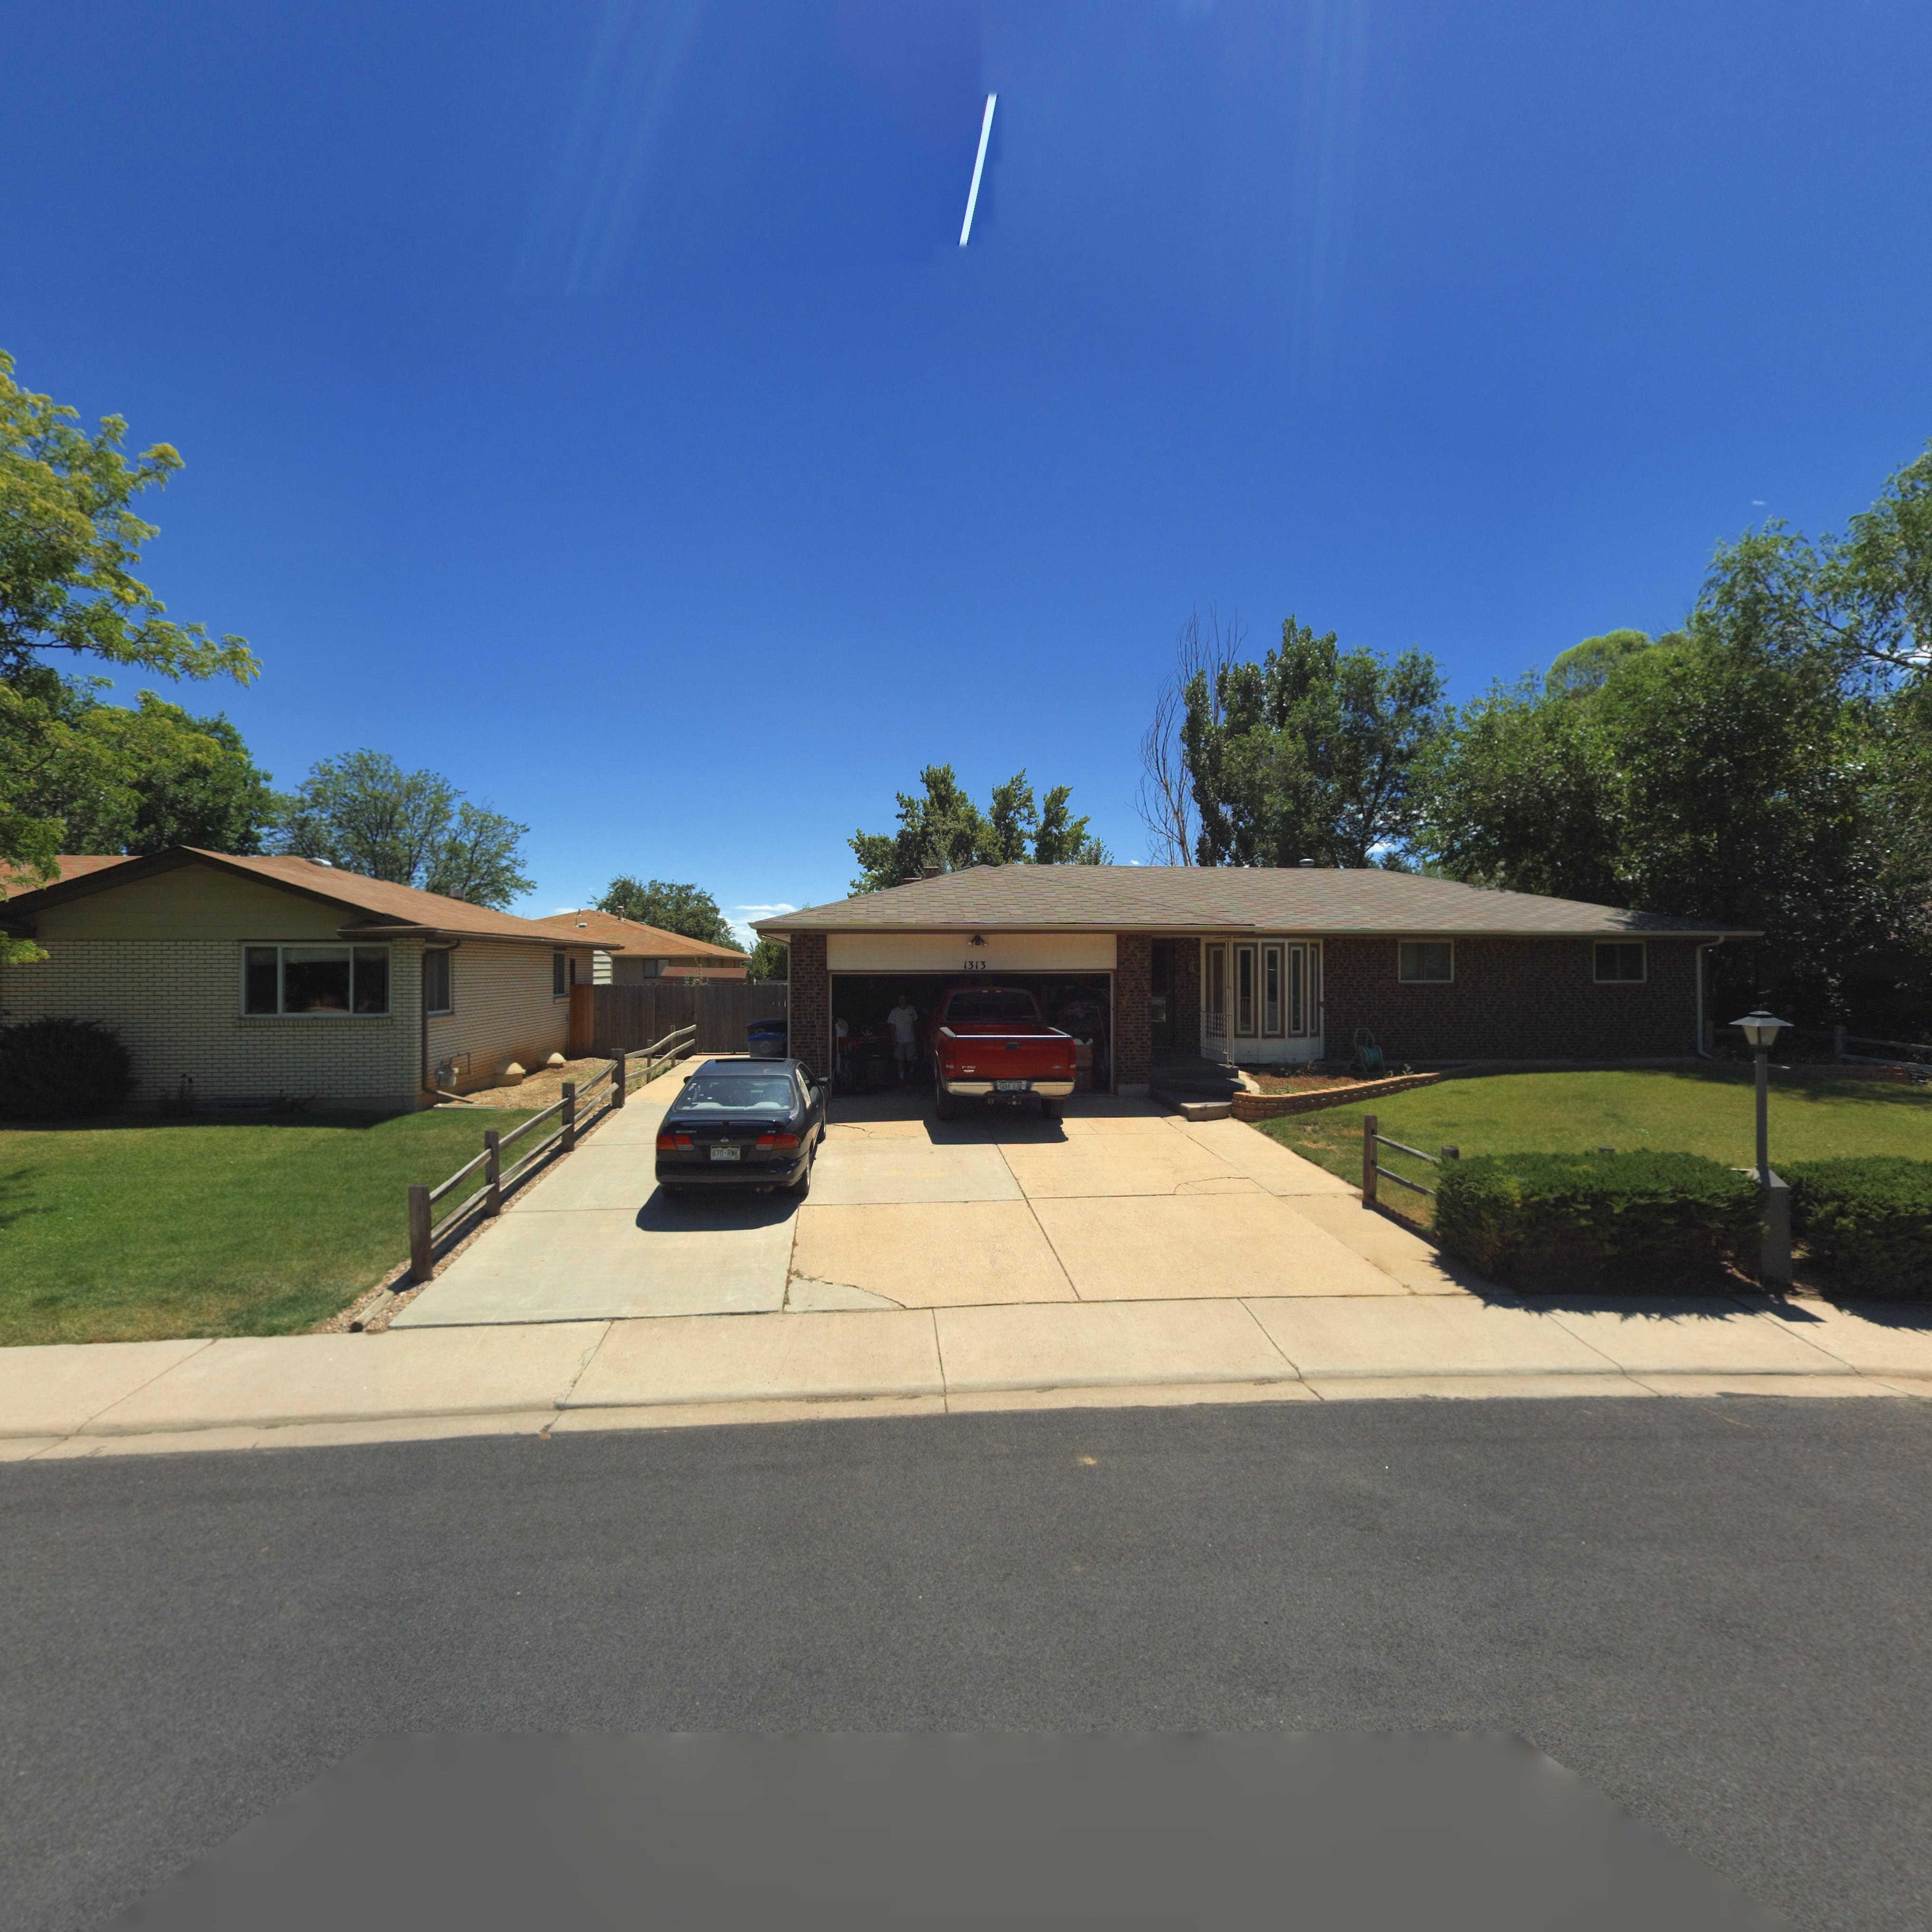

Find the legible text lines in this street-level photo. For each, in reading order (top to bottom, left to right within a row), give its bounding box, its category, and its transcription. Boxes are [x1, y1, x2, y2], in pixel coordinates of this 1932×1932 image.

[964, 960, 986, 969] StreetNumber: 1313